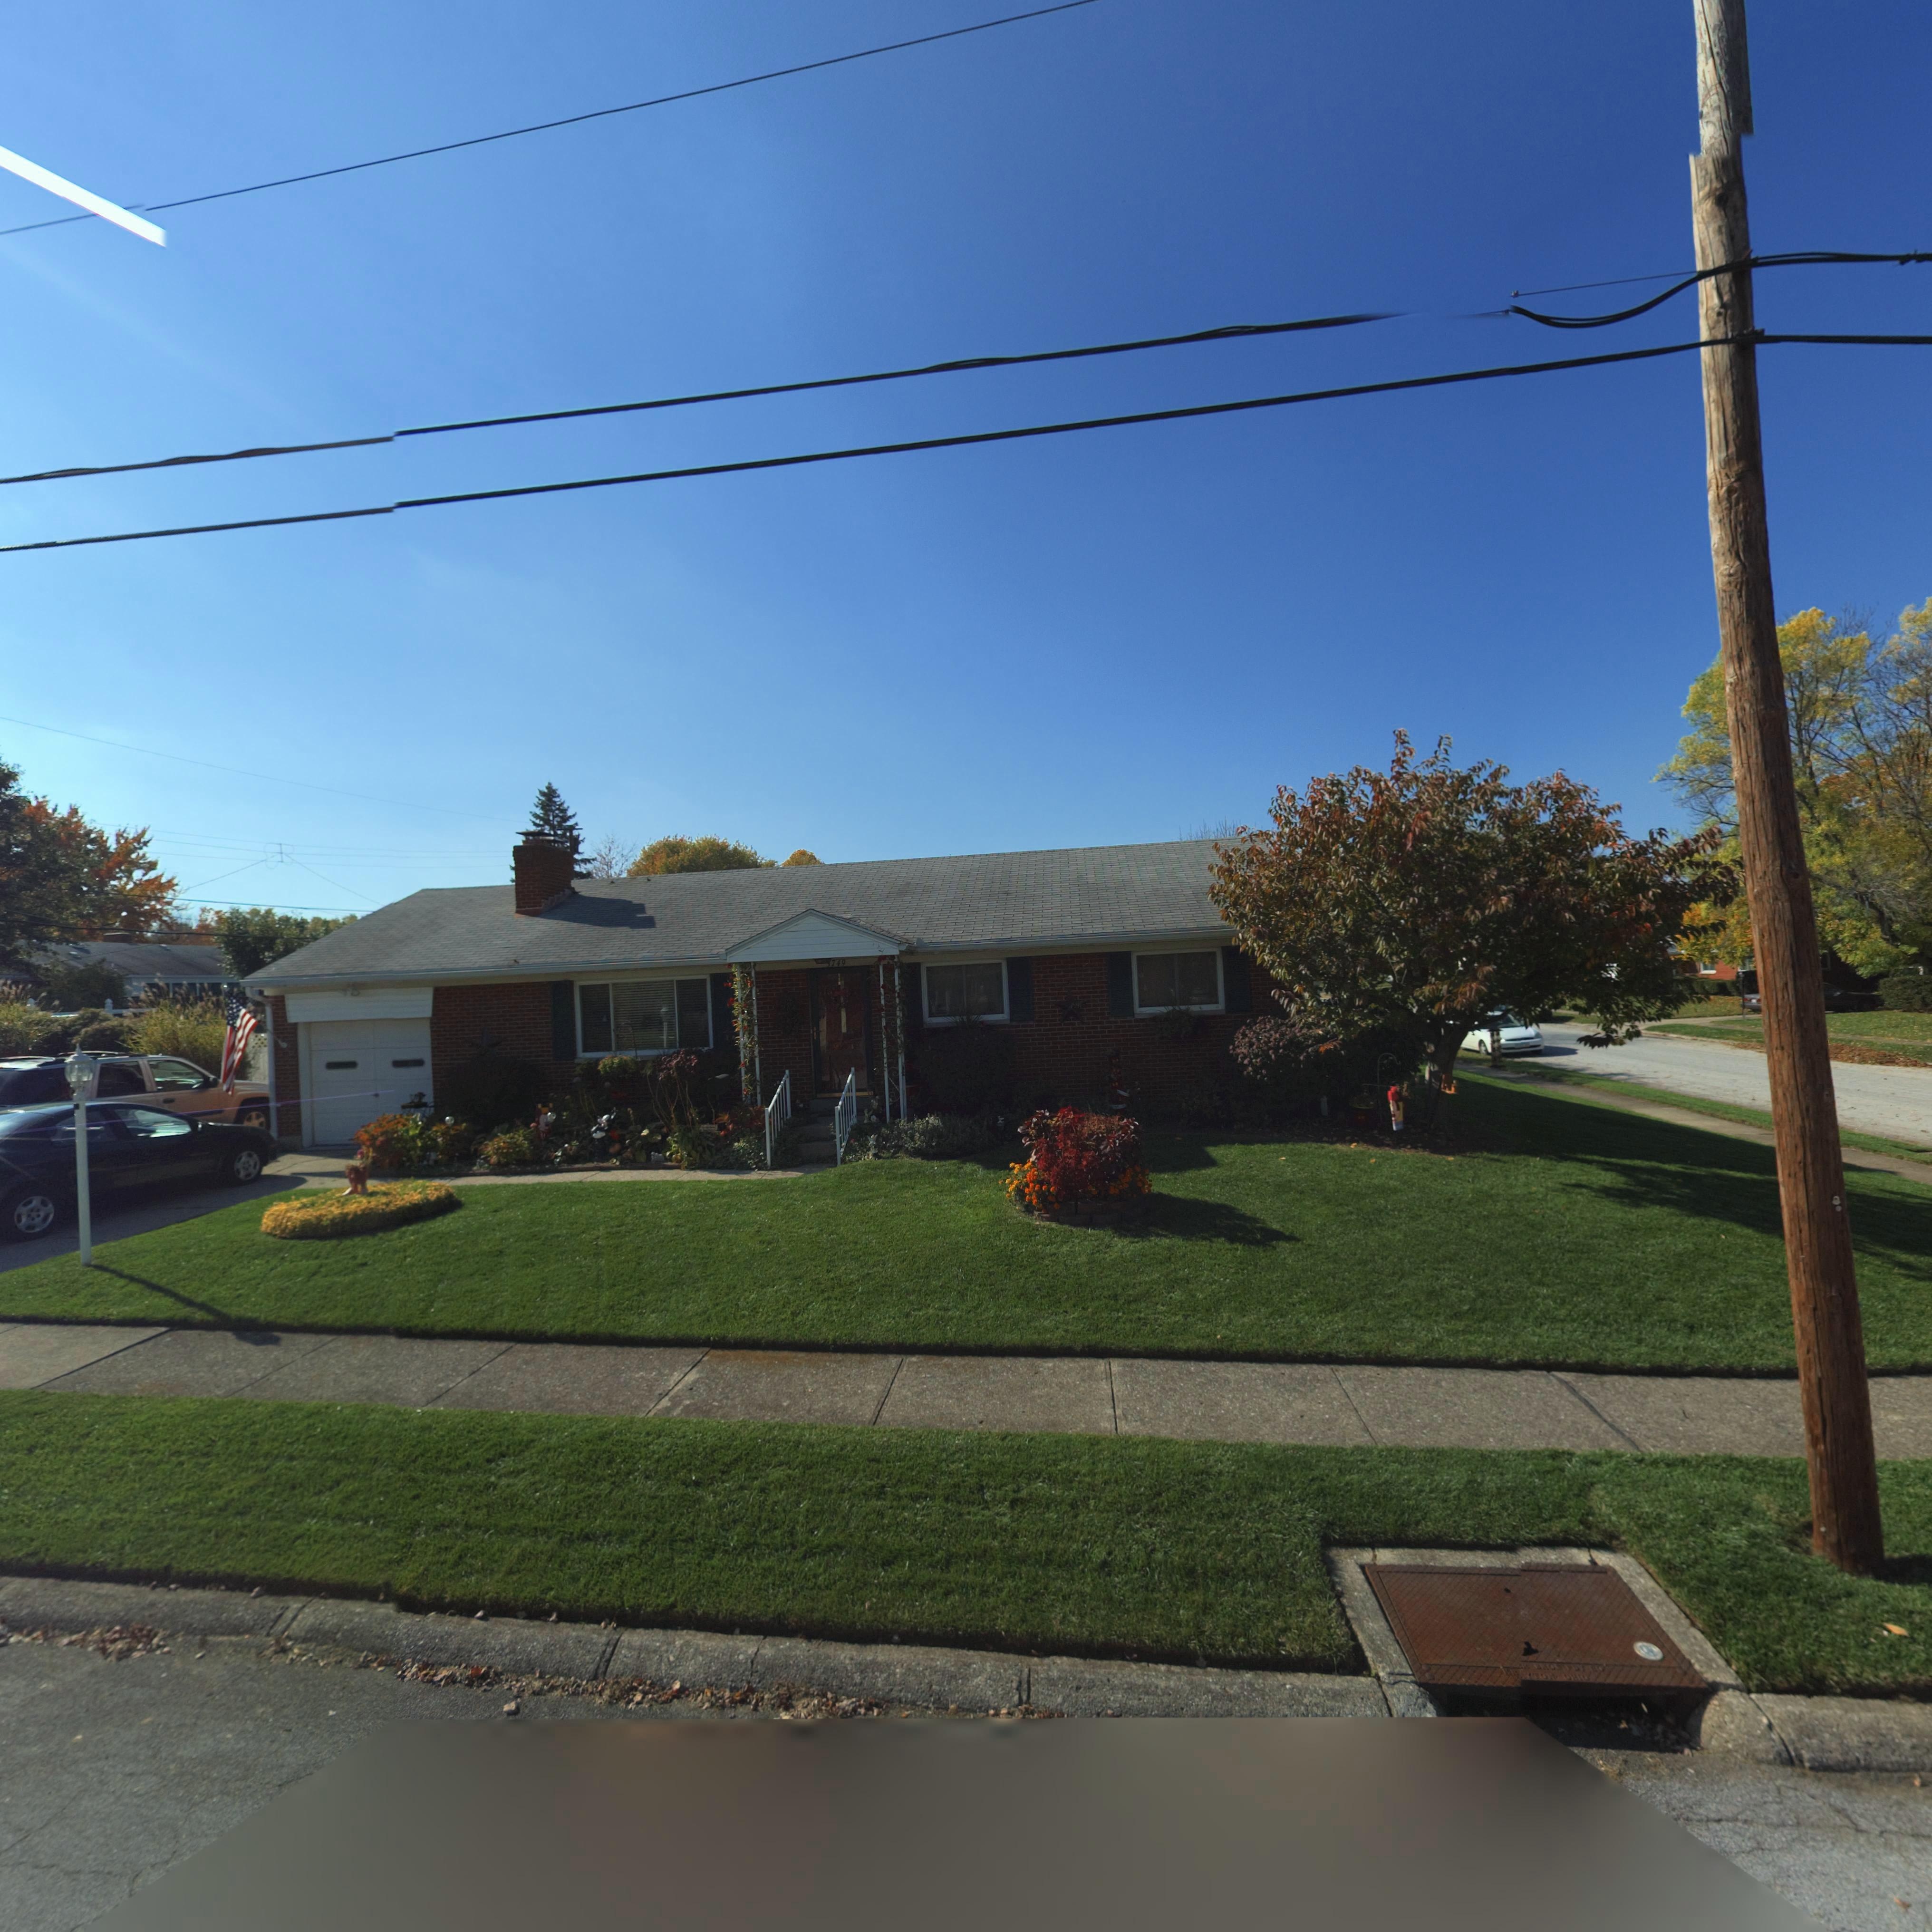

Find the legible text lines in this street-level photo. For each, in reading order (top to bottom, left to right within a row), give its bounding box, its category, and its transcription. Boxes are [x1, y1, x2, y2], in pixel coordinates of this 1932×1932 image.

[826, 959, 846, 967] StreetNumber: *740